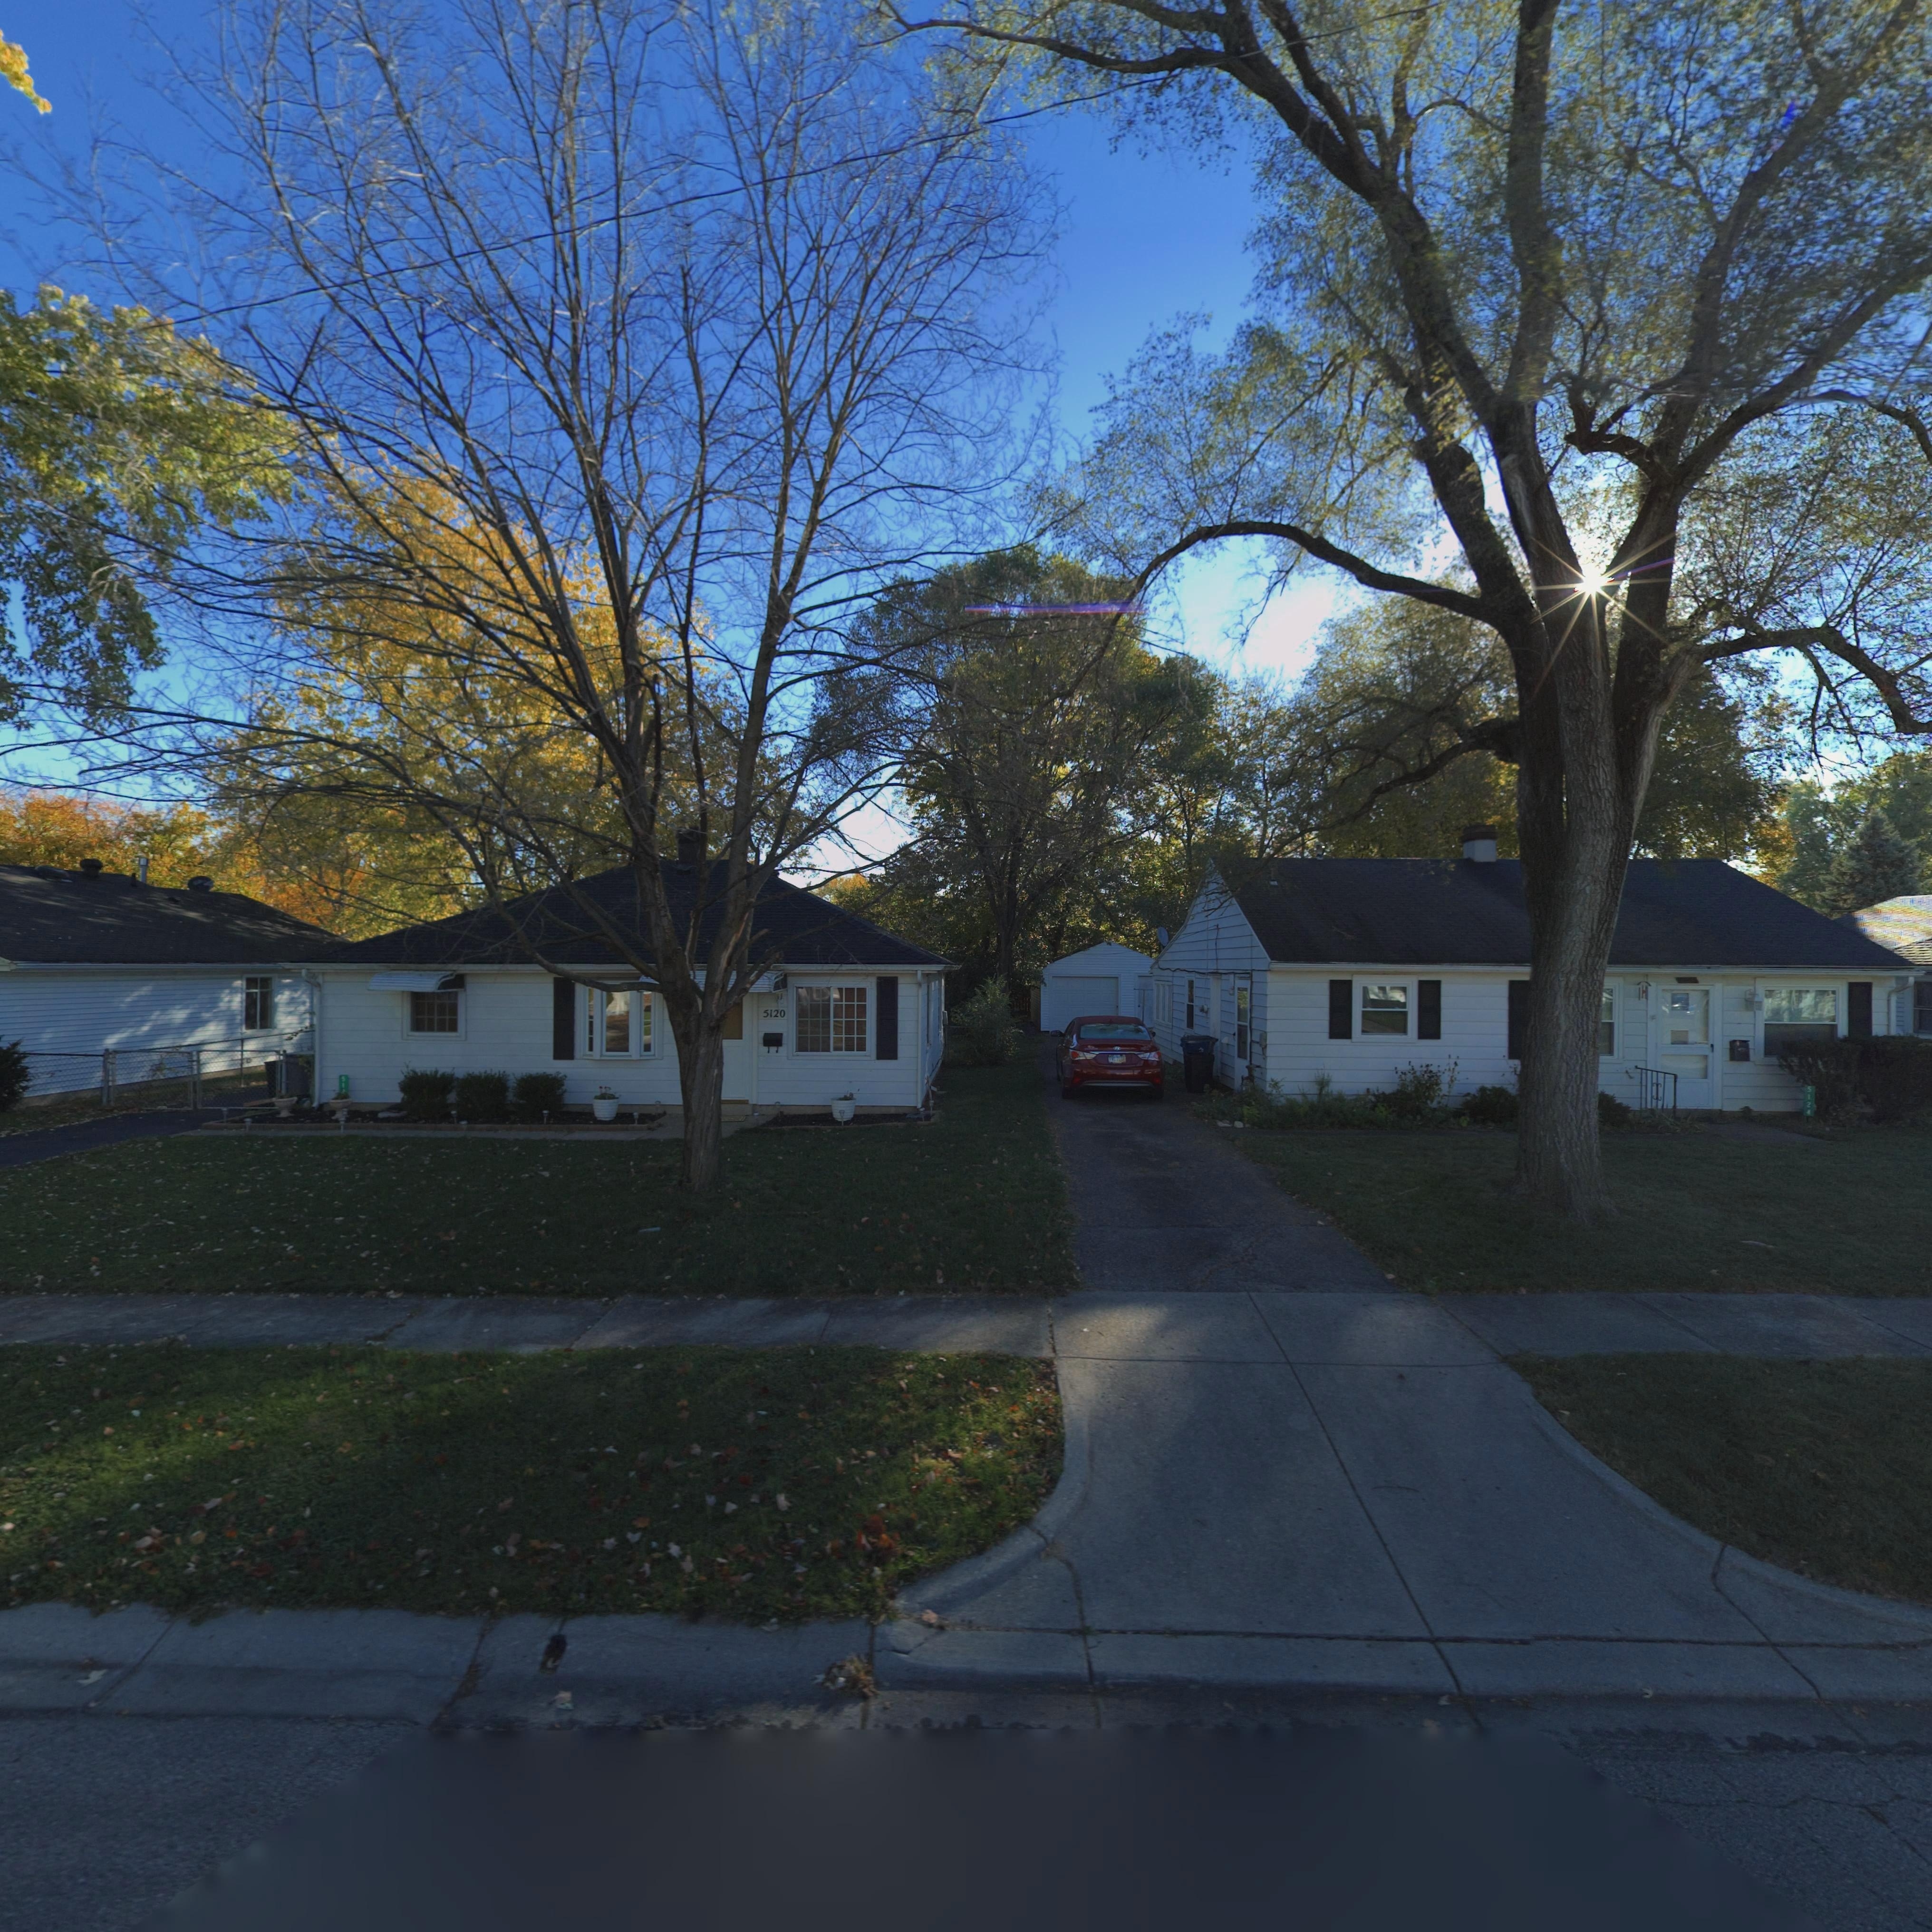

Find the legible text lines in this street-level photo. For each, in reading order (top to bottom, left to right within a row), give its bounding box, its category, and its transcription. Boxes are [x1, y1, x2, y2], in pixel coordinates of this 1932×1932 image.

[763, 1009, 785, 1018] StreetNumber: 5120
[340, 1075, 346, 1094] StreetNumber: 51*
[1806, 1086, 1813, 1116] StreetNumber: 5124